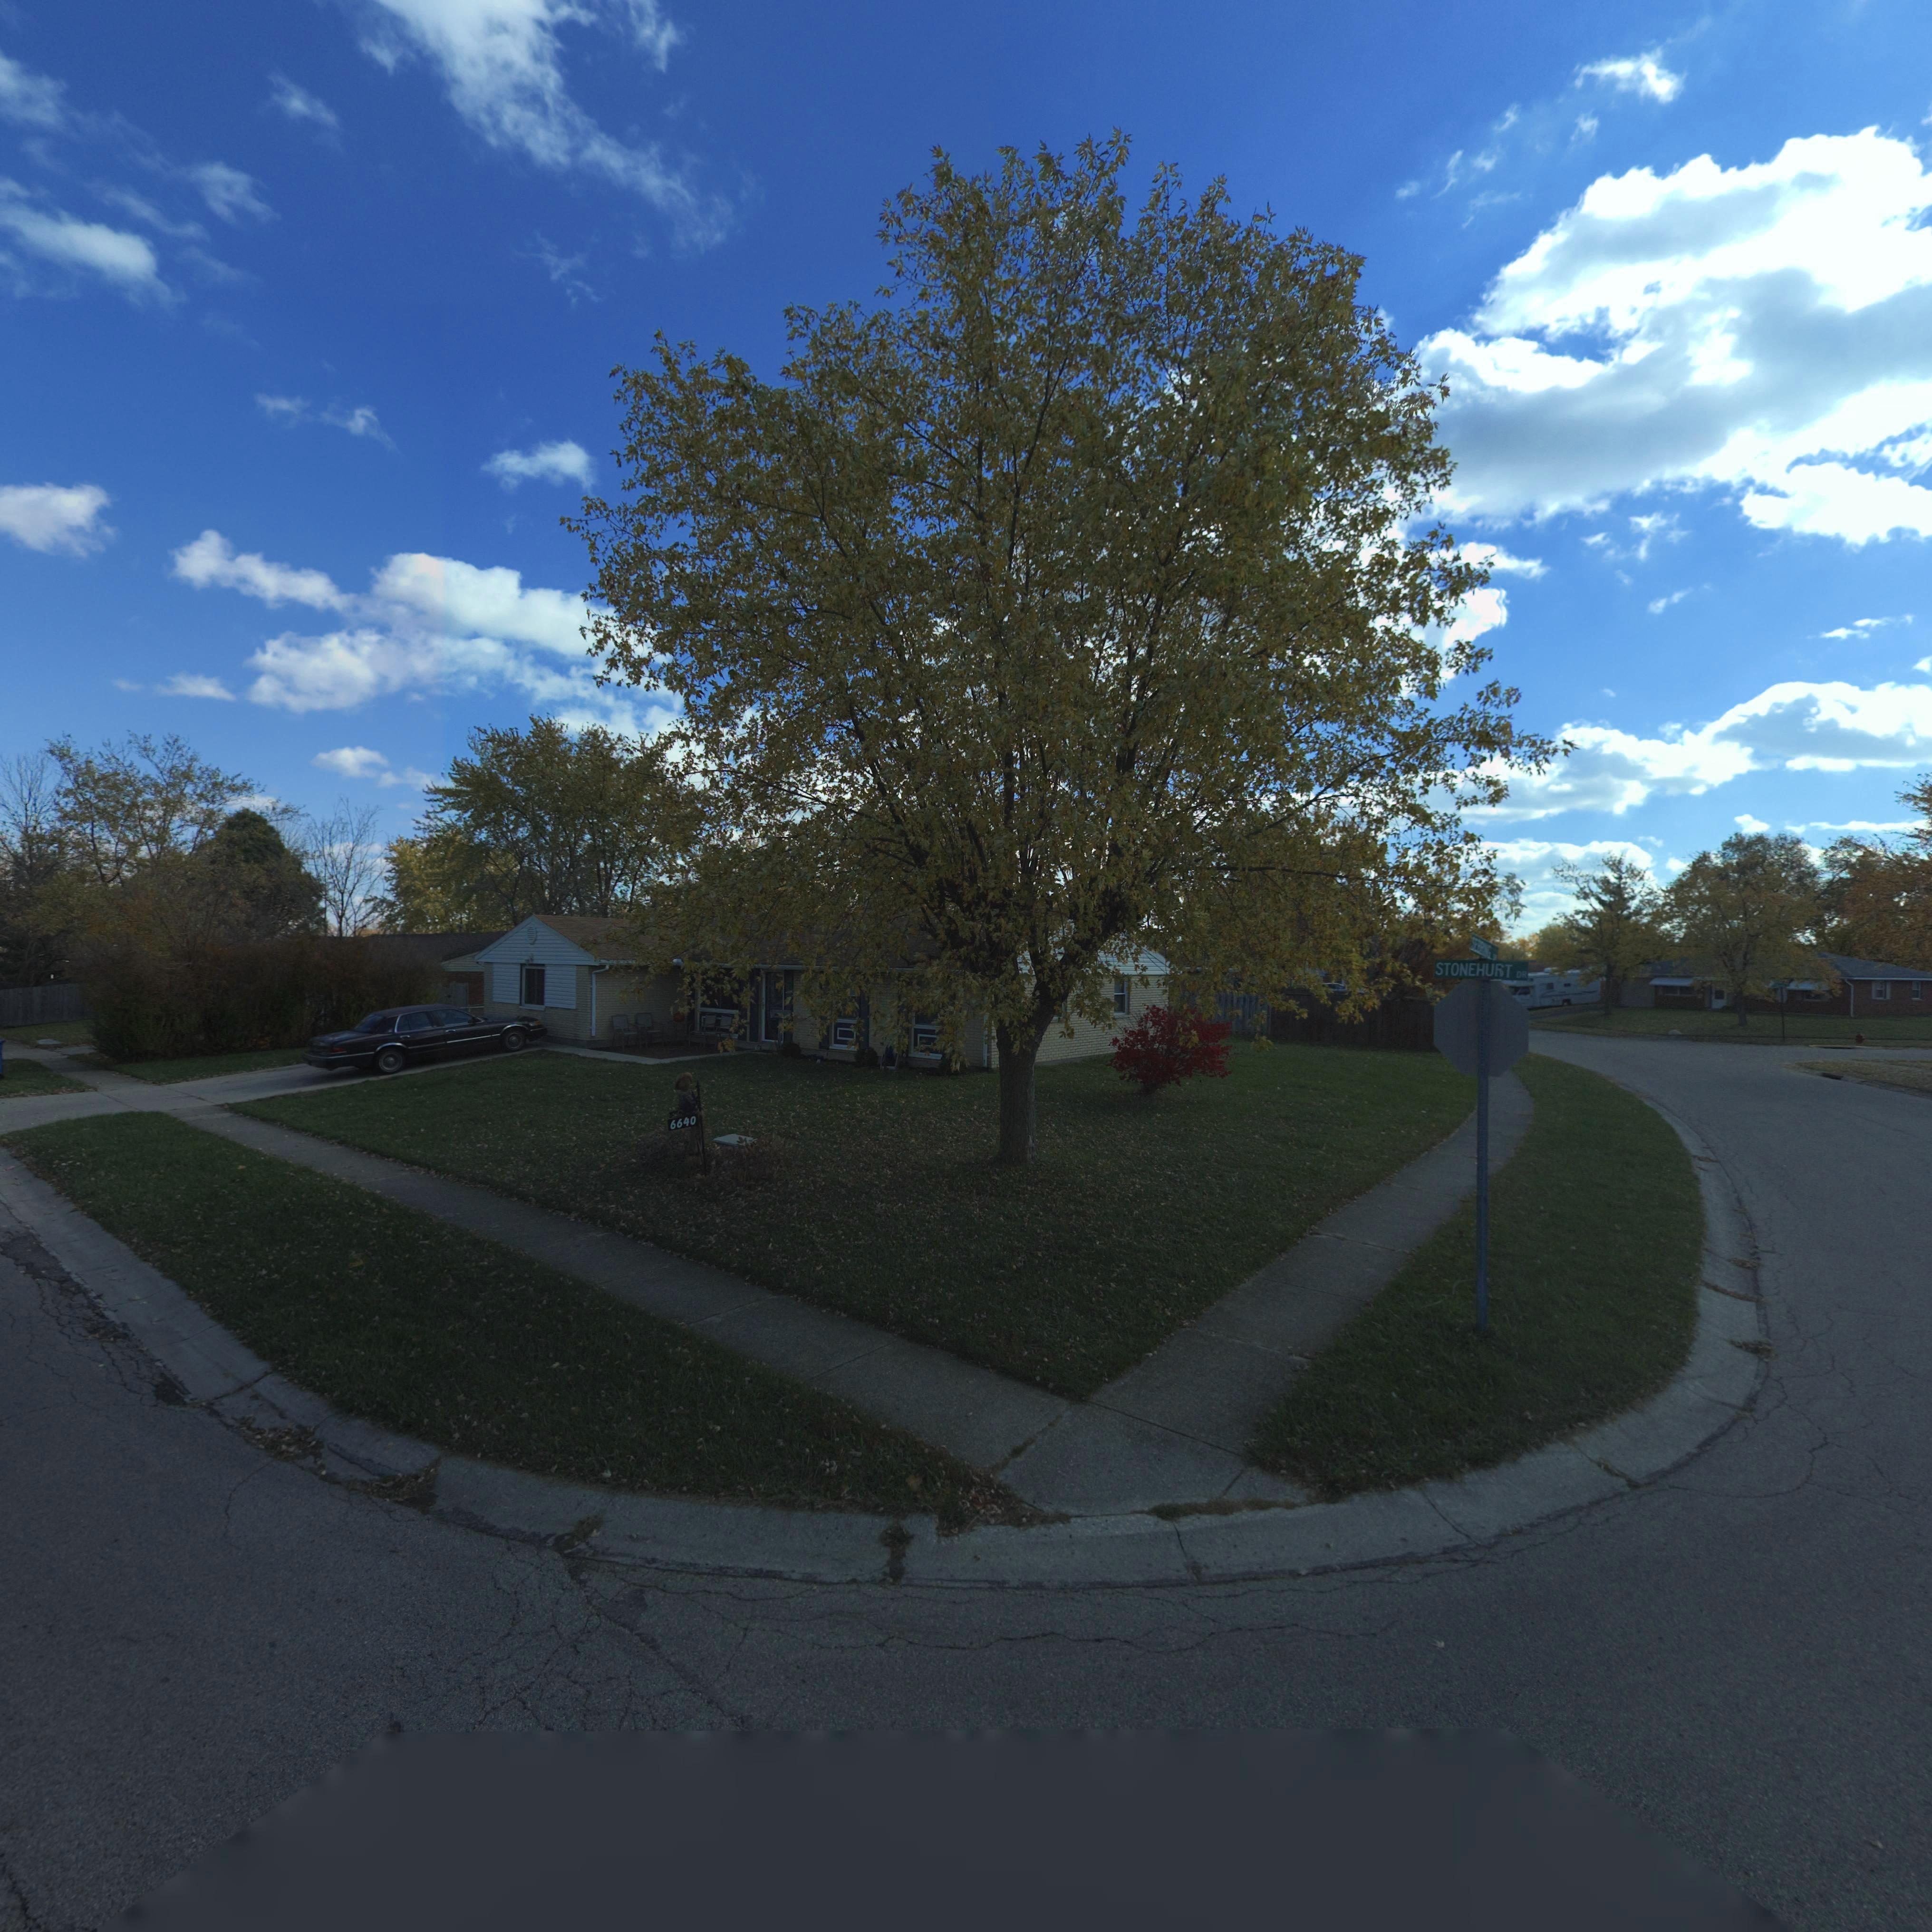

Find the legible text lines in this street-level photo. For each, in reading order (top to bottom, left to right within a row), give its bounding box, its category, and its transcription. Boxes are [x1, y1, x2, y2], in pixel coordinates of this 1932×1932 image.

[1434, 961, 1528, 980] StreetName: STONEHU*T DR
[670, 1115, 696, 1130] StreetNumber: 6640